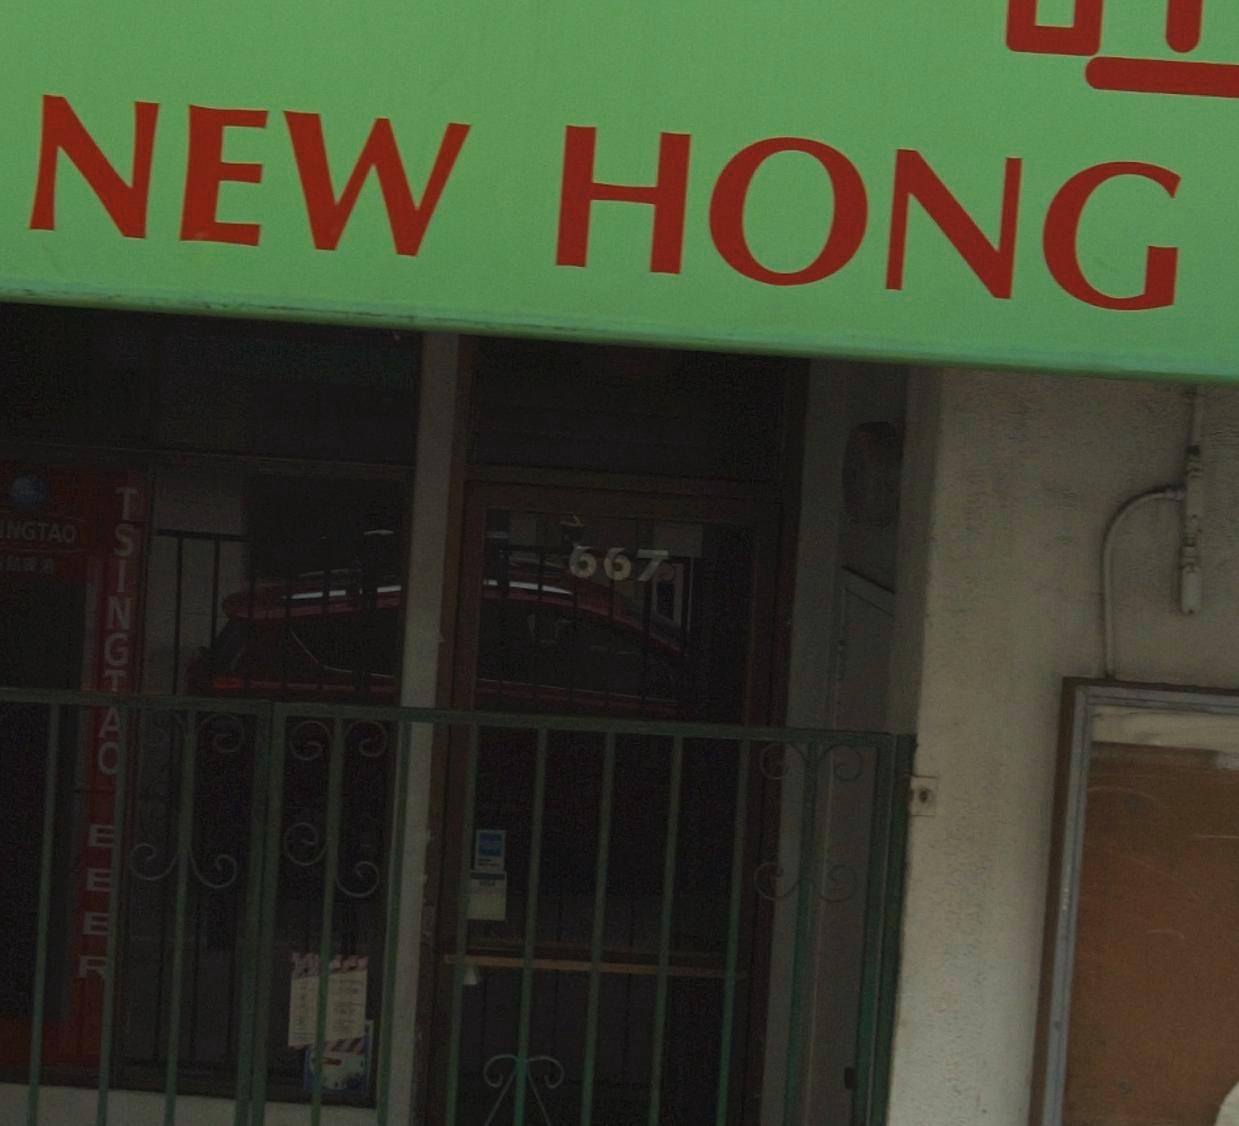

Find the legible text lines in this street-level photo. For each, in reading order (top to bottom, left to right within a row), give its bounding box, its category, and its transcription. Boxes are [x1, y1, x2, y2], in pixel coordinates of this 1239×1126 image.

[21, 83, 1192, 320] BusinessName: NEW HONG
[2, 516, 81, 546] None: NGTAO
[562, 538, 682, 589] StreetNumber: 667
[73, 482, 141, 987] None: TSINGTAO EEER